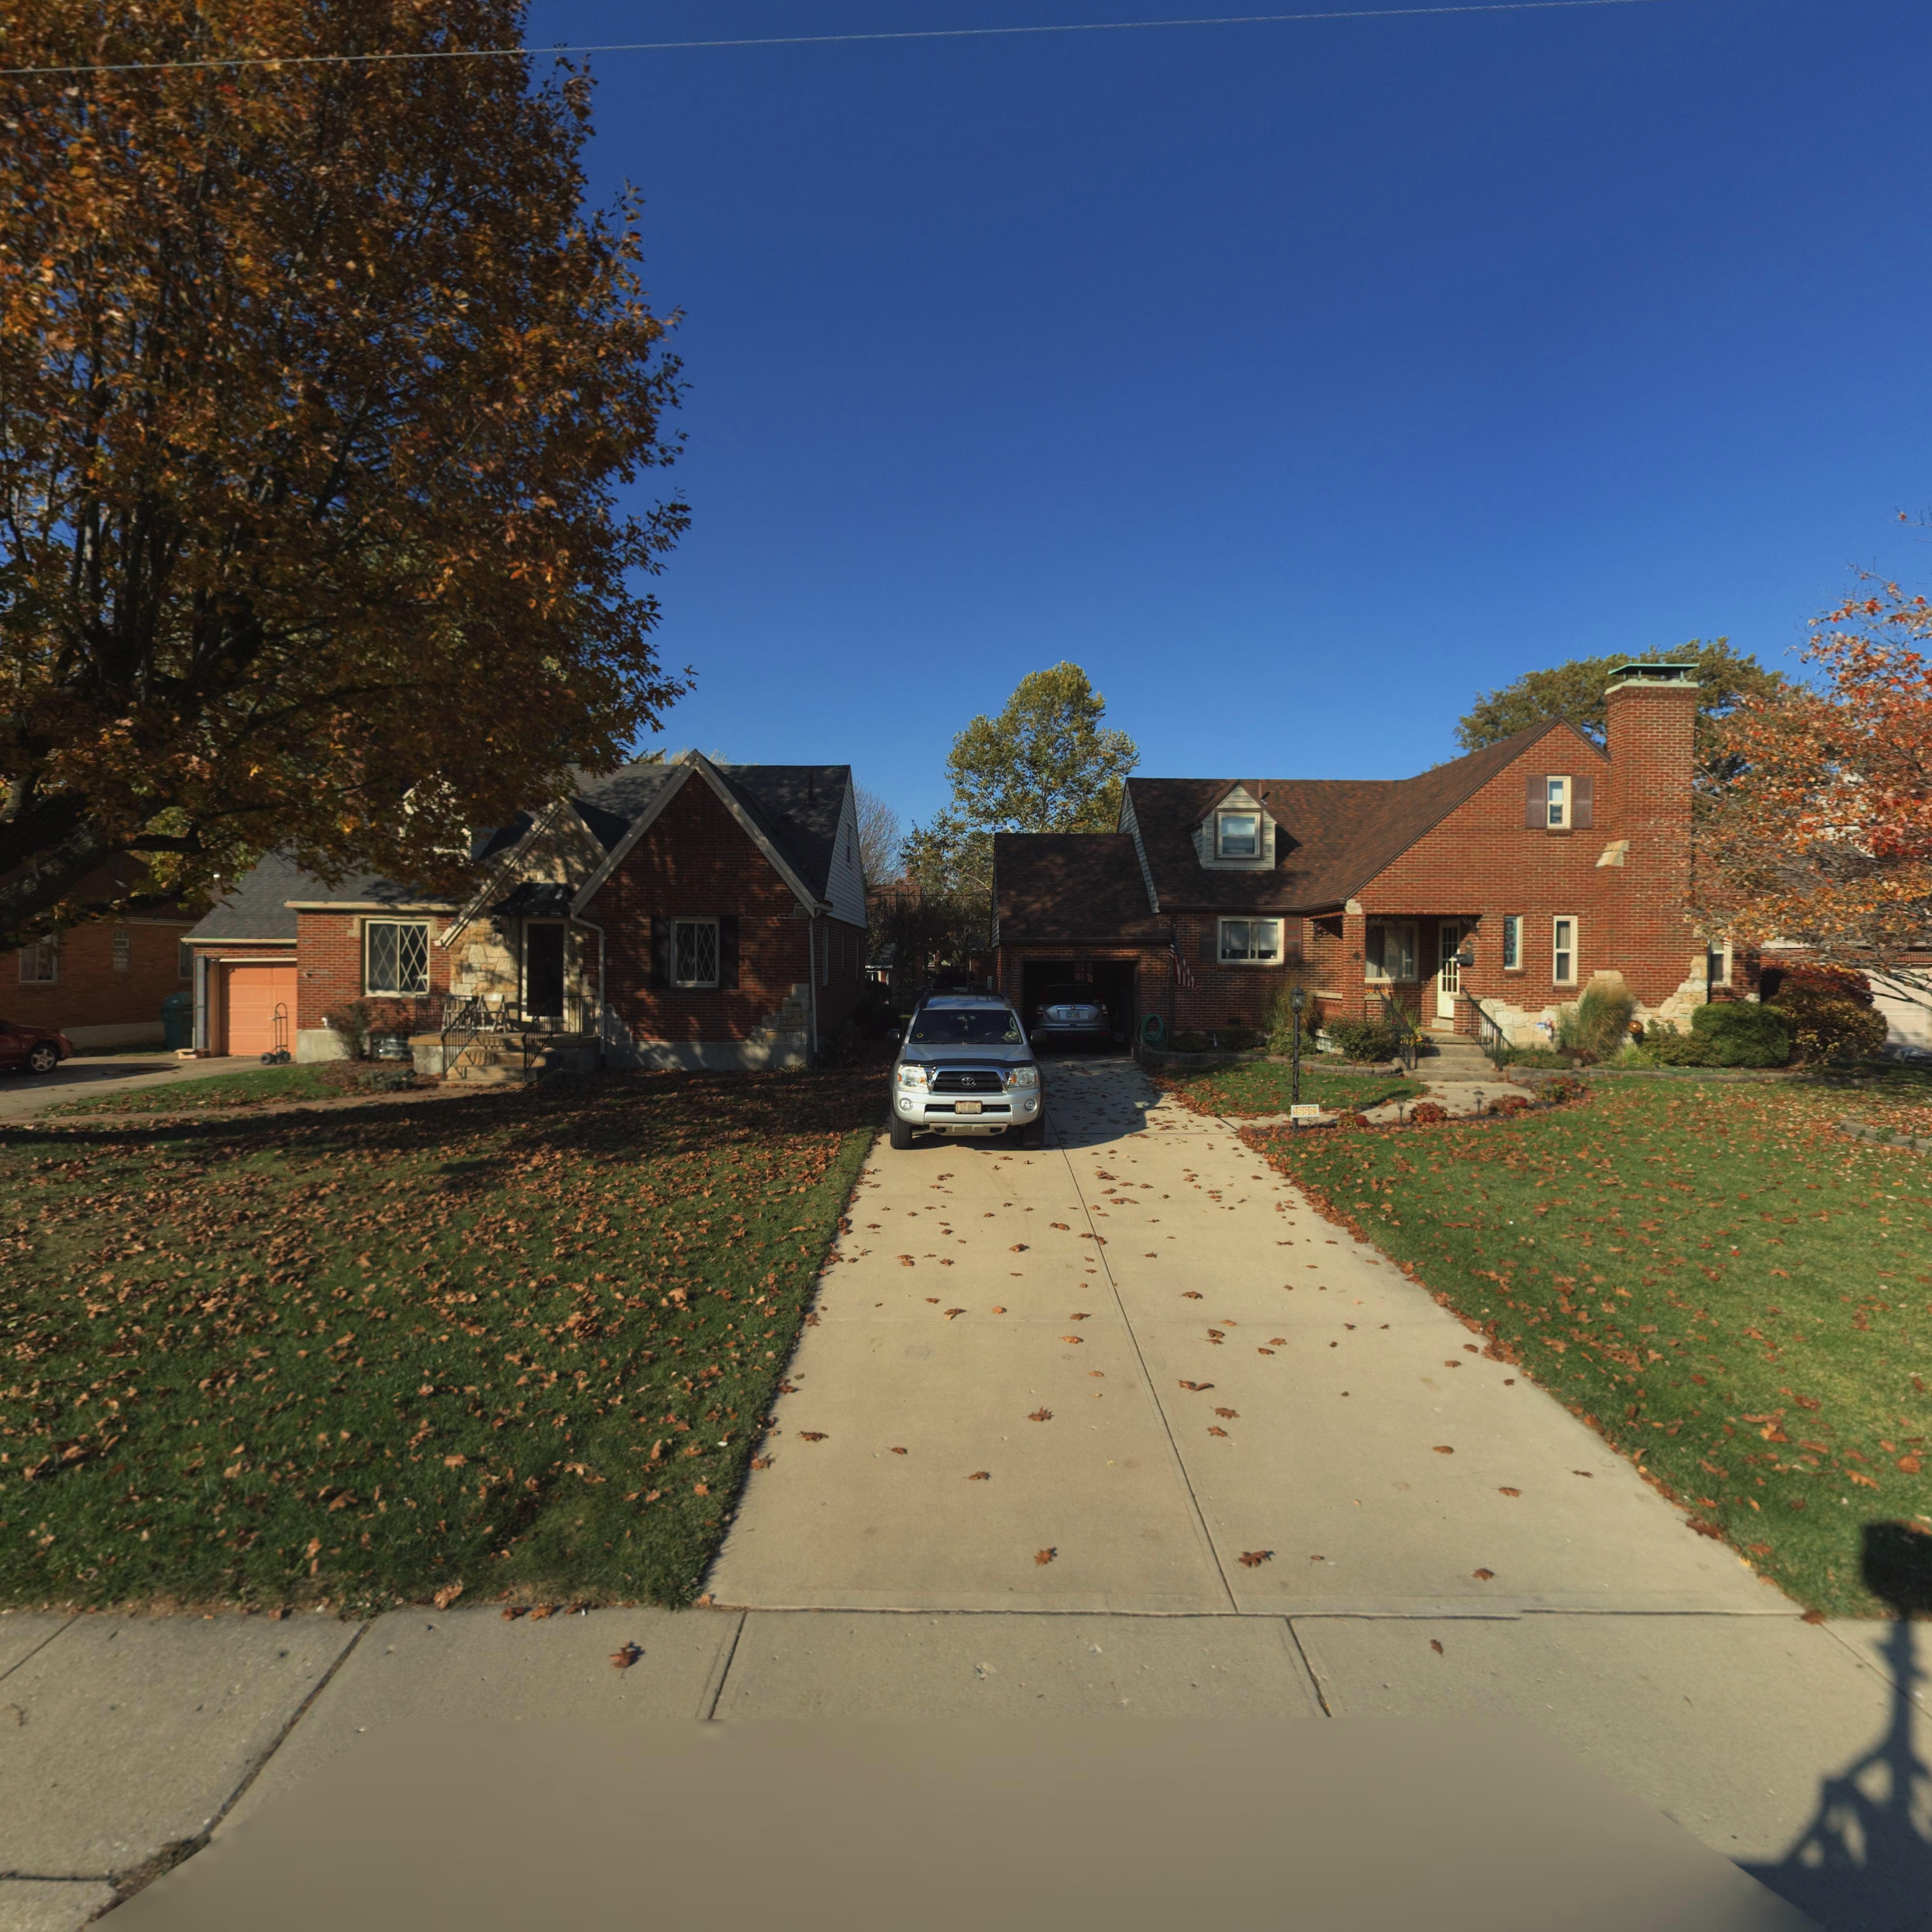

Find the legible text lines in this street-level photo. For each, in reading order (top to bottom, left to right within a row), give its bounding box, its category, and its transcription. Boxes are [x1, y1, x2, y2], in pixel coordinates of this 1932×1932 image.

[956, 1103, 981, 1112] None: EOZ 6554
[1296, 1107, 1314, 1115] StreetNumber: 225